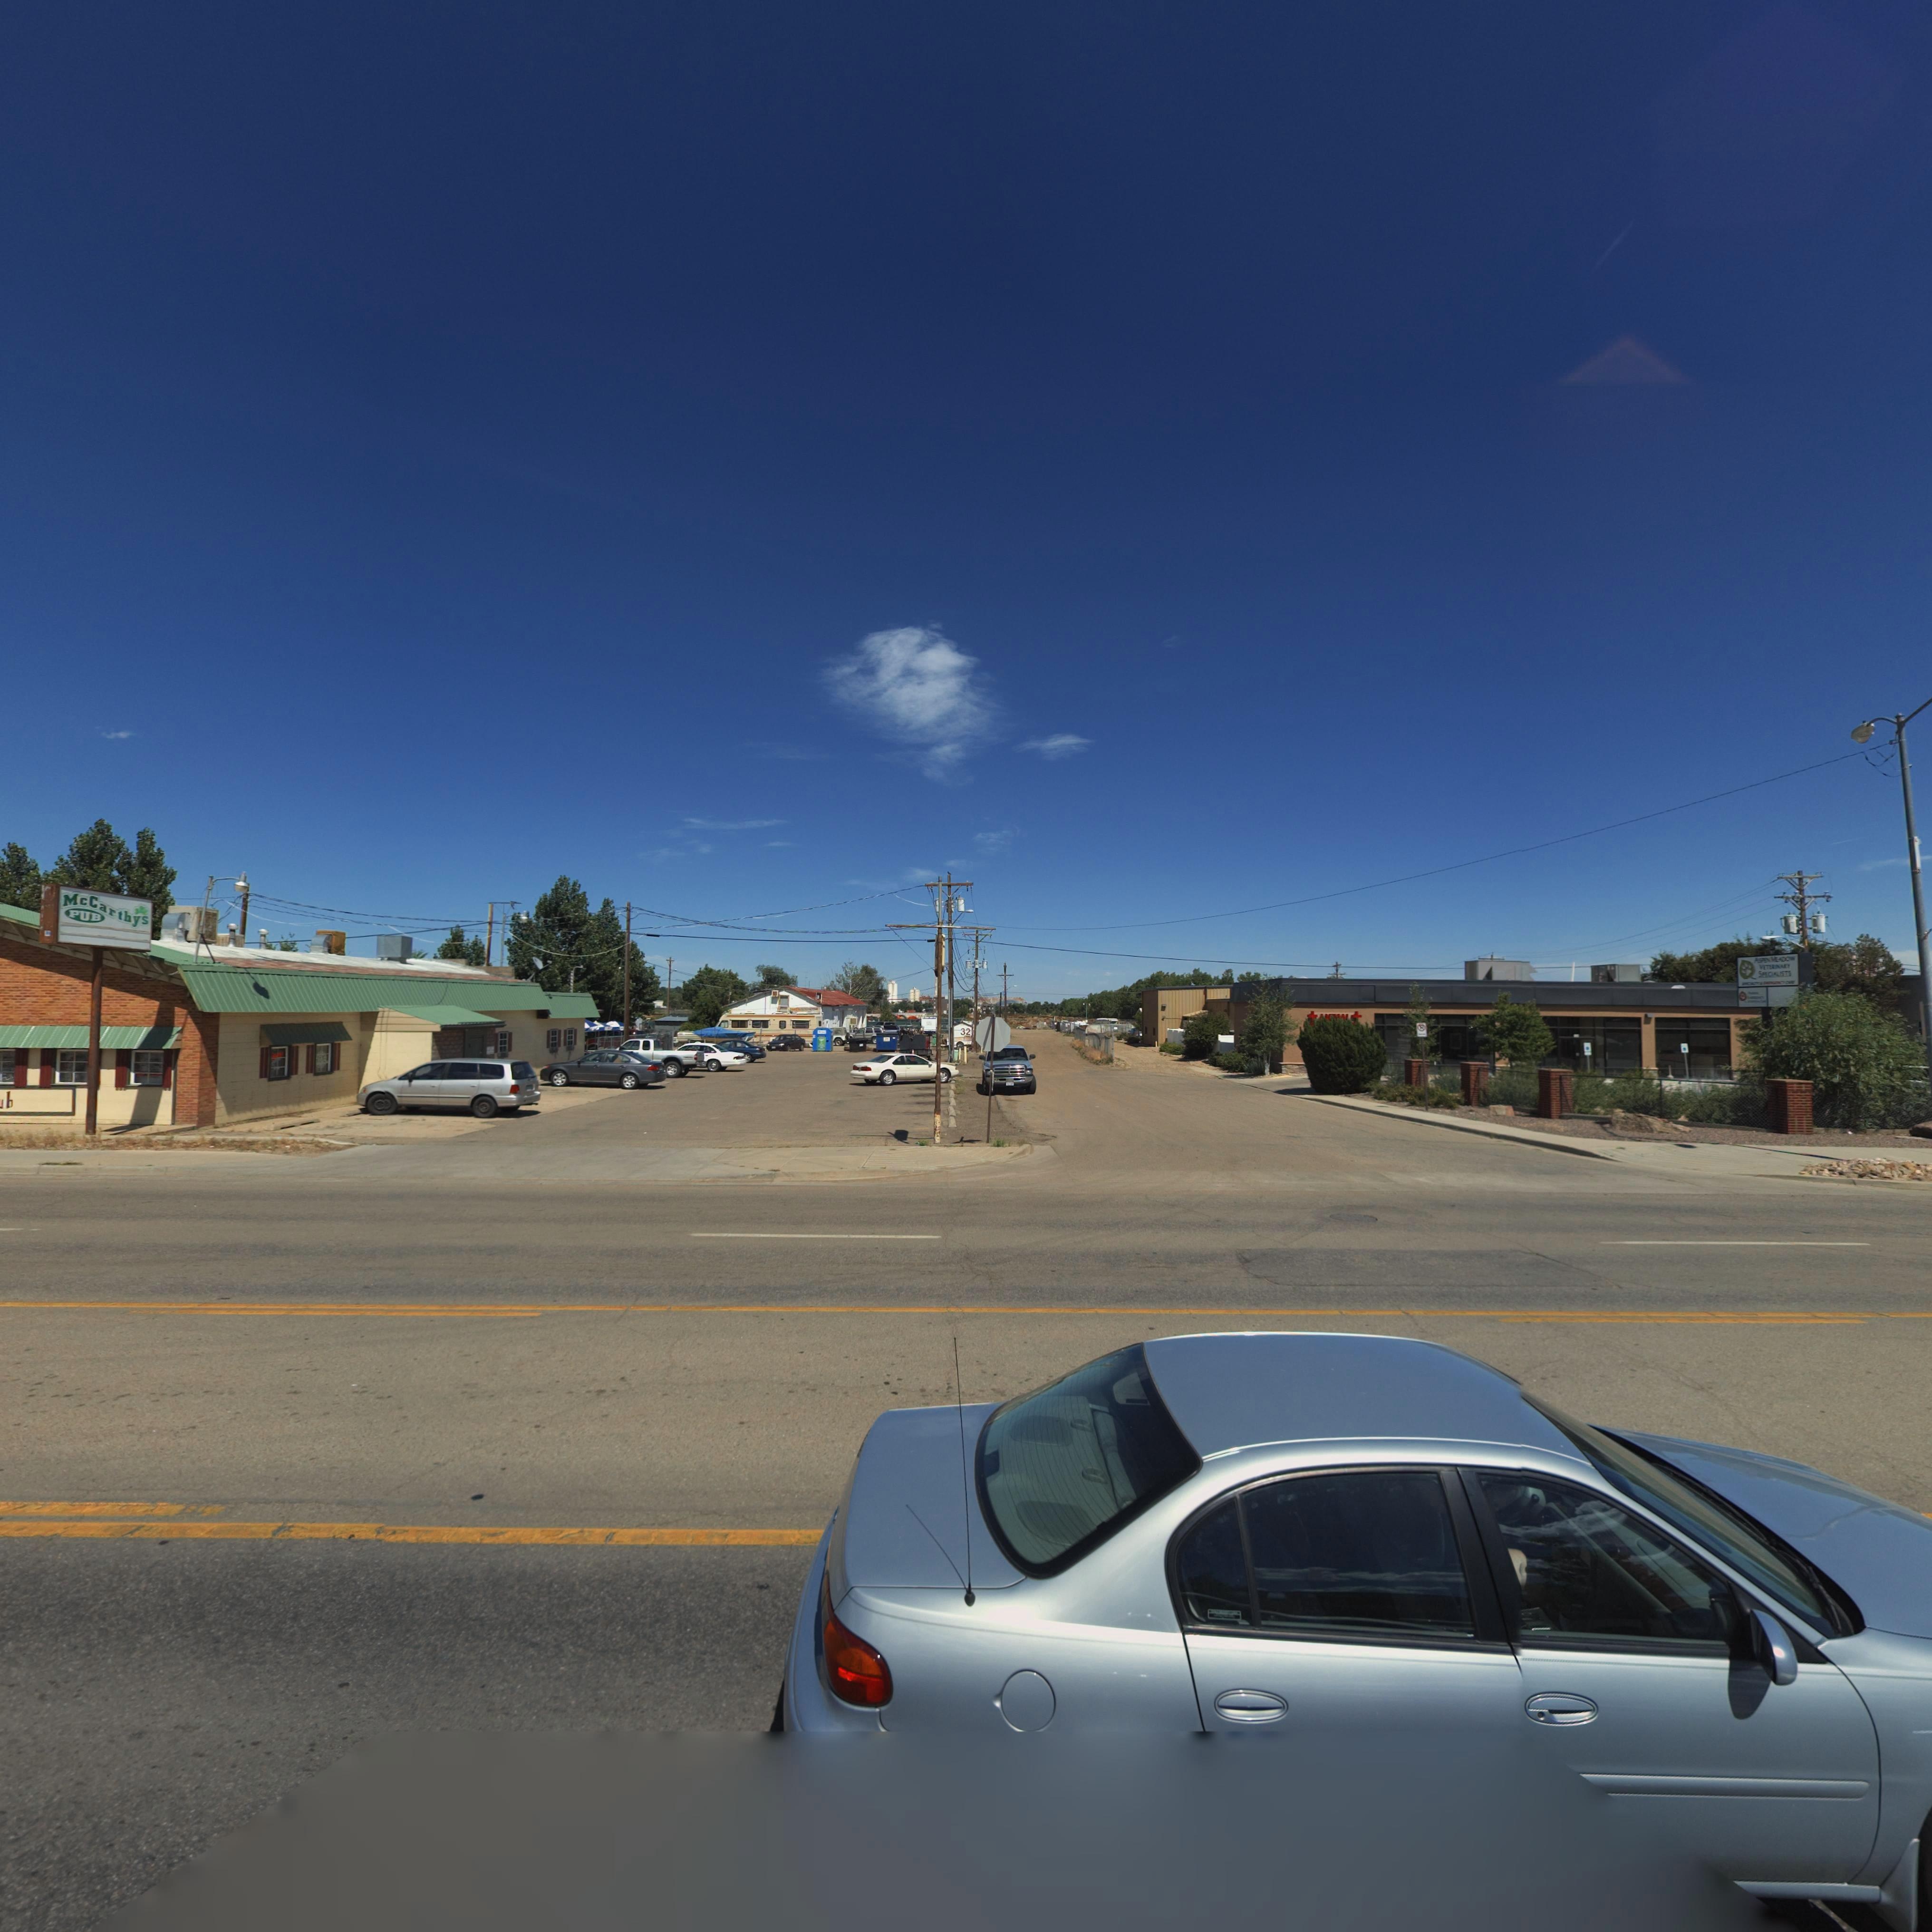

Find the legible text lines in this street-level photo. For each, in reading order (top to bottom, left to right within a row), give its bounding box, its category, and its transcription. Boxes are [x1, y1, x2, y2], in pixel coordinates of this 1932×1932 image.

[68, 909, 101, 921] BusinessName: PUB
[62, 893, 149, 927] BusinessName: McCarthys
[1753, 955, 1797, 964] BusinessName: ASPEN MNEADOW
[1758, 963, 1791, 970] BusinessName: VETERINARY
[1757, 970, 1792, 978] BusinessName: SPECIALISTS
[5, 1090, 13, 1109] BusinessName: b